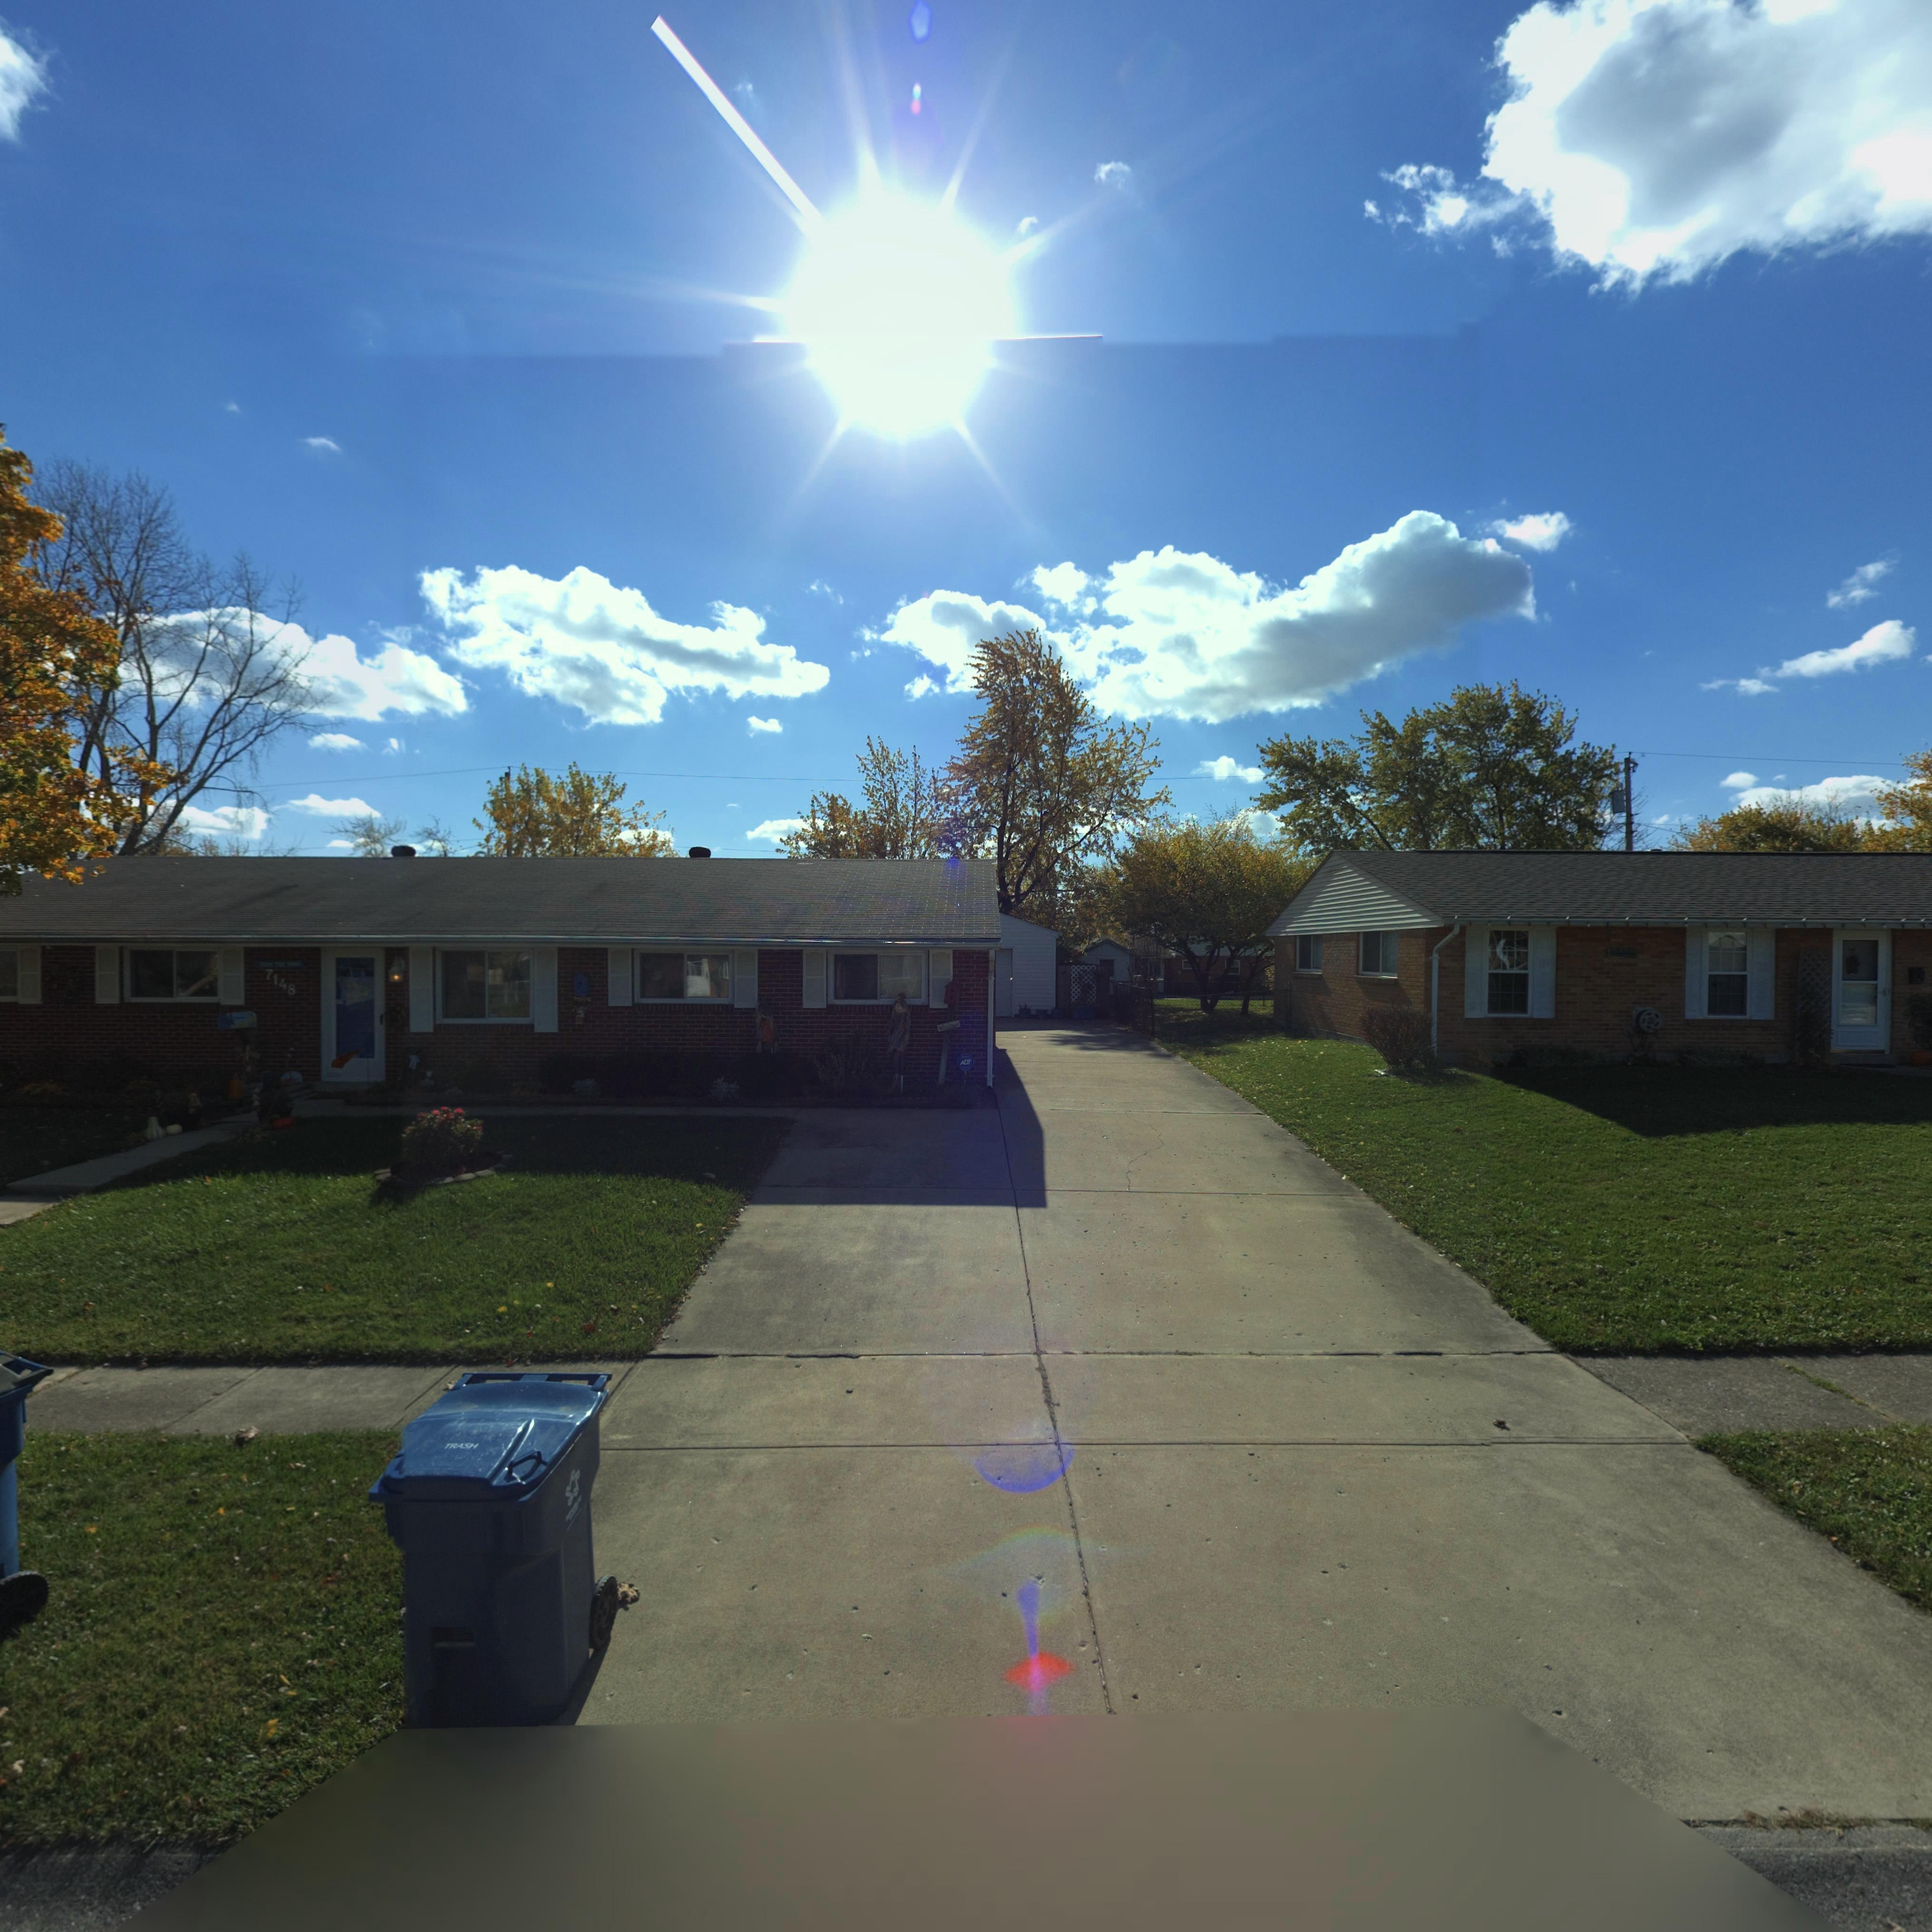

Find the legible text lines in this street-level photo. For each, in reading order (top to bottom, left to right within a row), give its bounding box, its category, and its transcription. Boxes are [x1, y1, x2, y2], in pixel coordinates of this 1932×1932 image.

[264, 968, 298, 996] StreetNumber: 7148